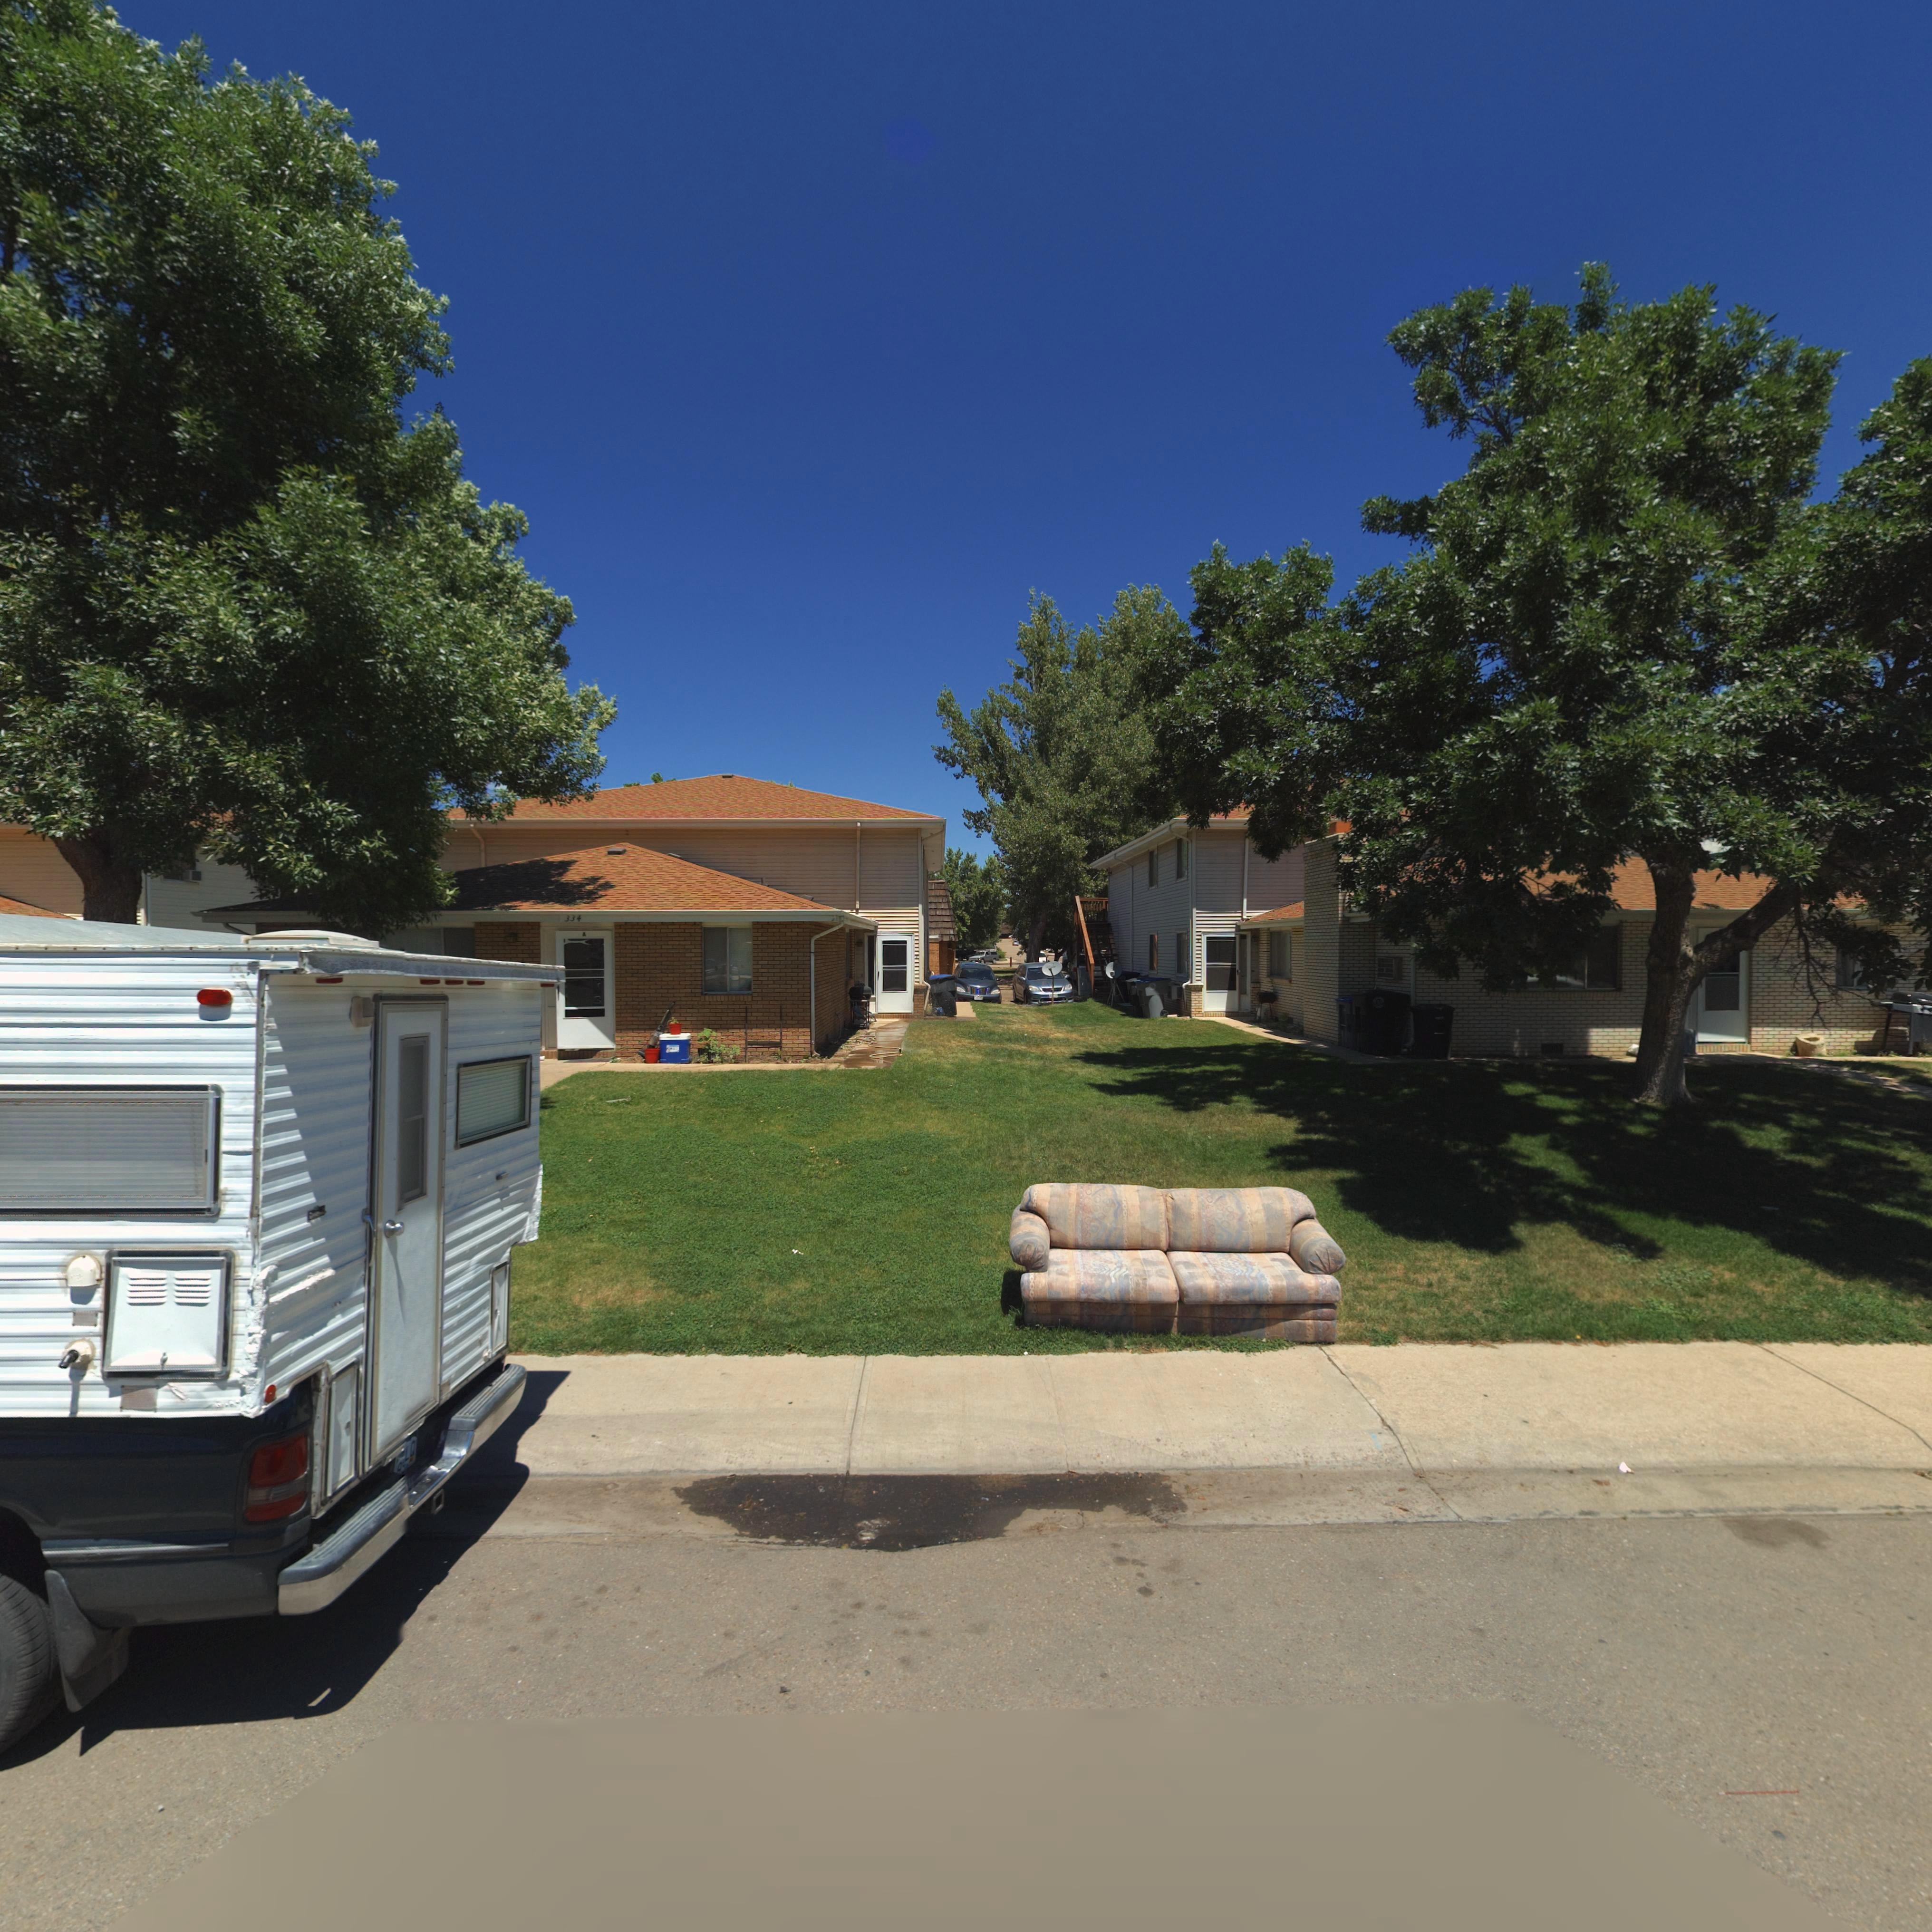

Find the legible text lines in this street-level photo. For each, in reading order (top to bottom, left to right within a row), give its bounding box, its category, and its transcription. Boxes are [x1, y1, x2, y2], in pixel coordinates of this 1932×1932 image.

[564, 914, 581, 921] StreetNumber: 334
[582, 931, 586, 937] StreetNumber: A